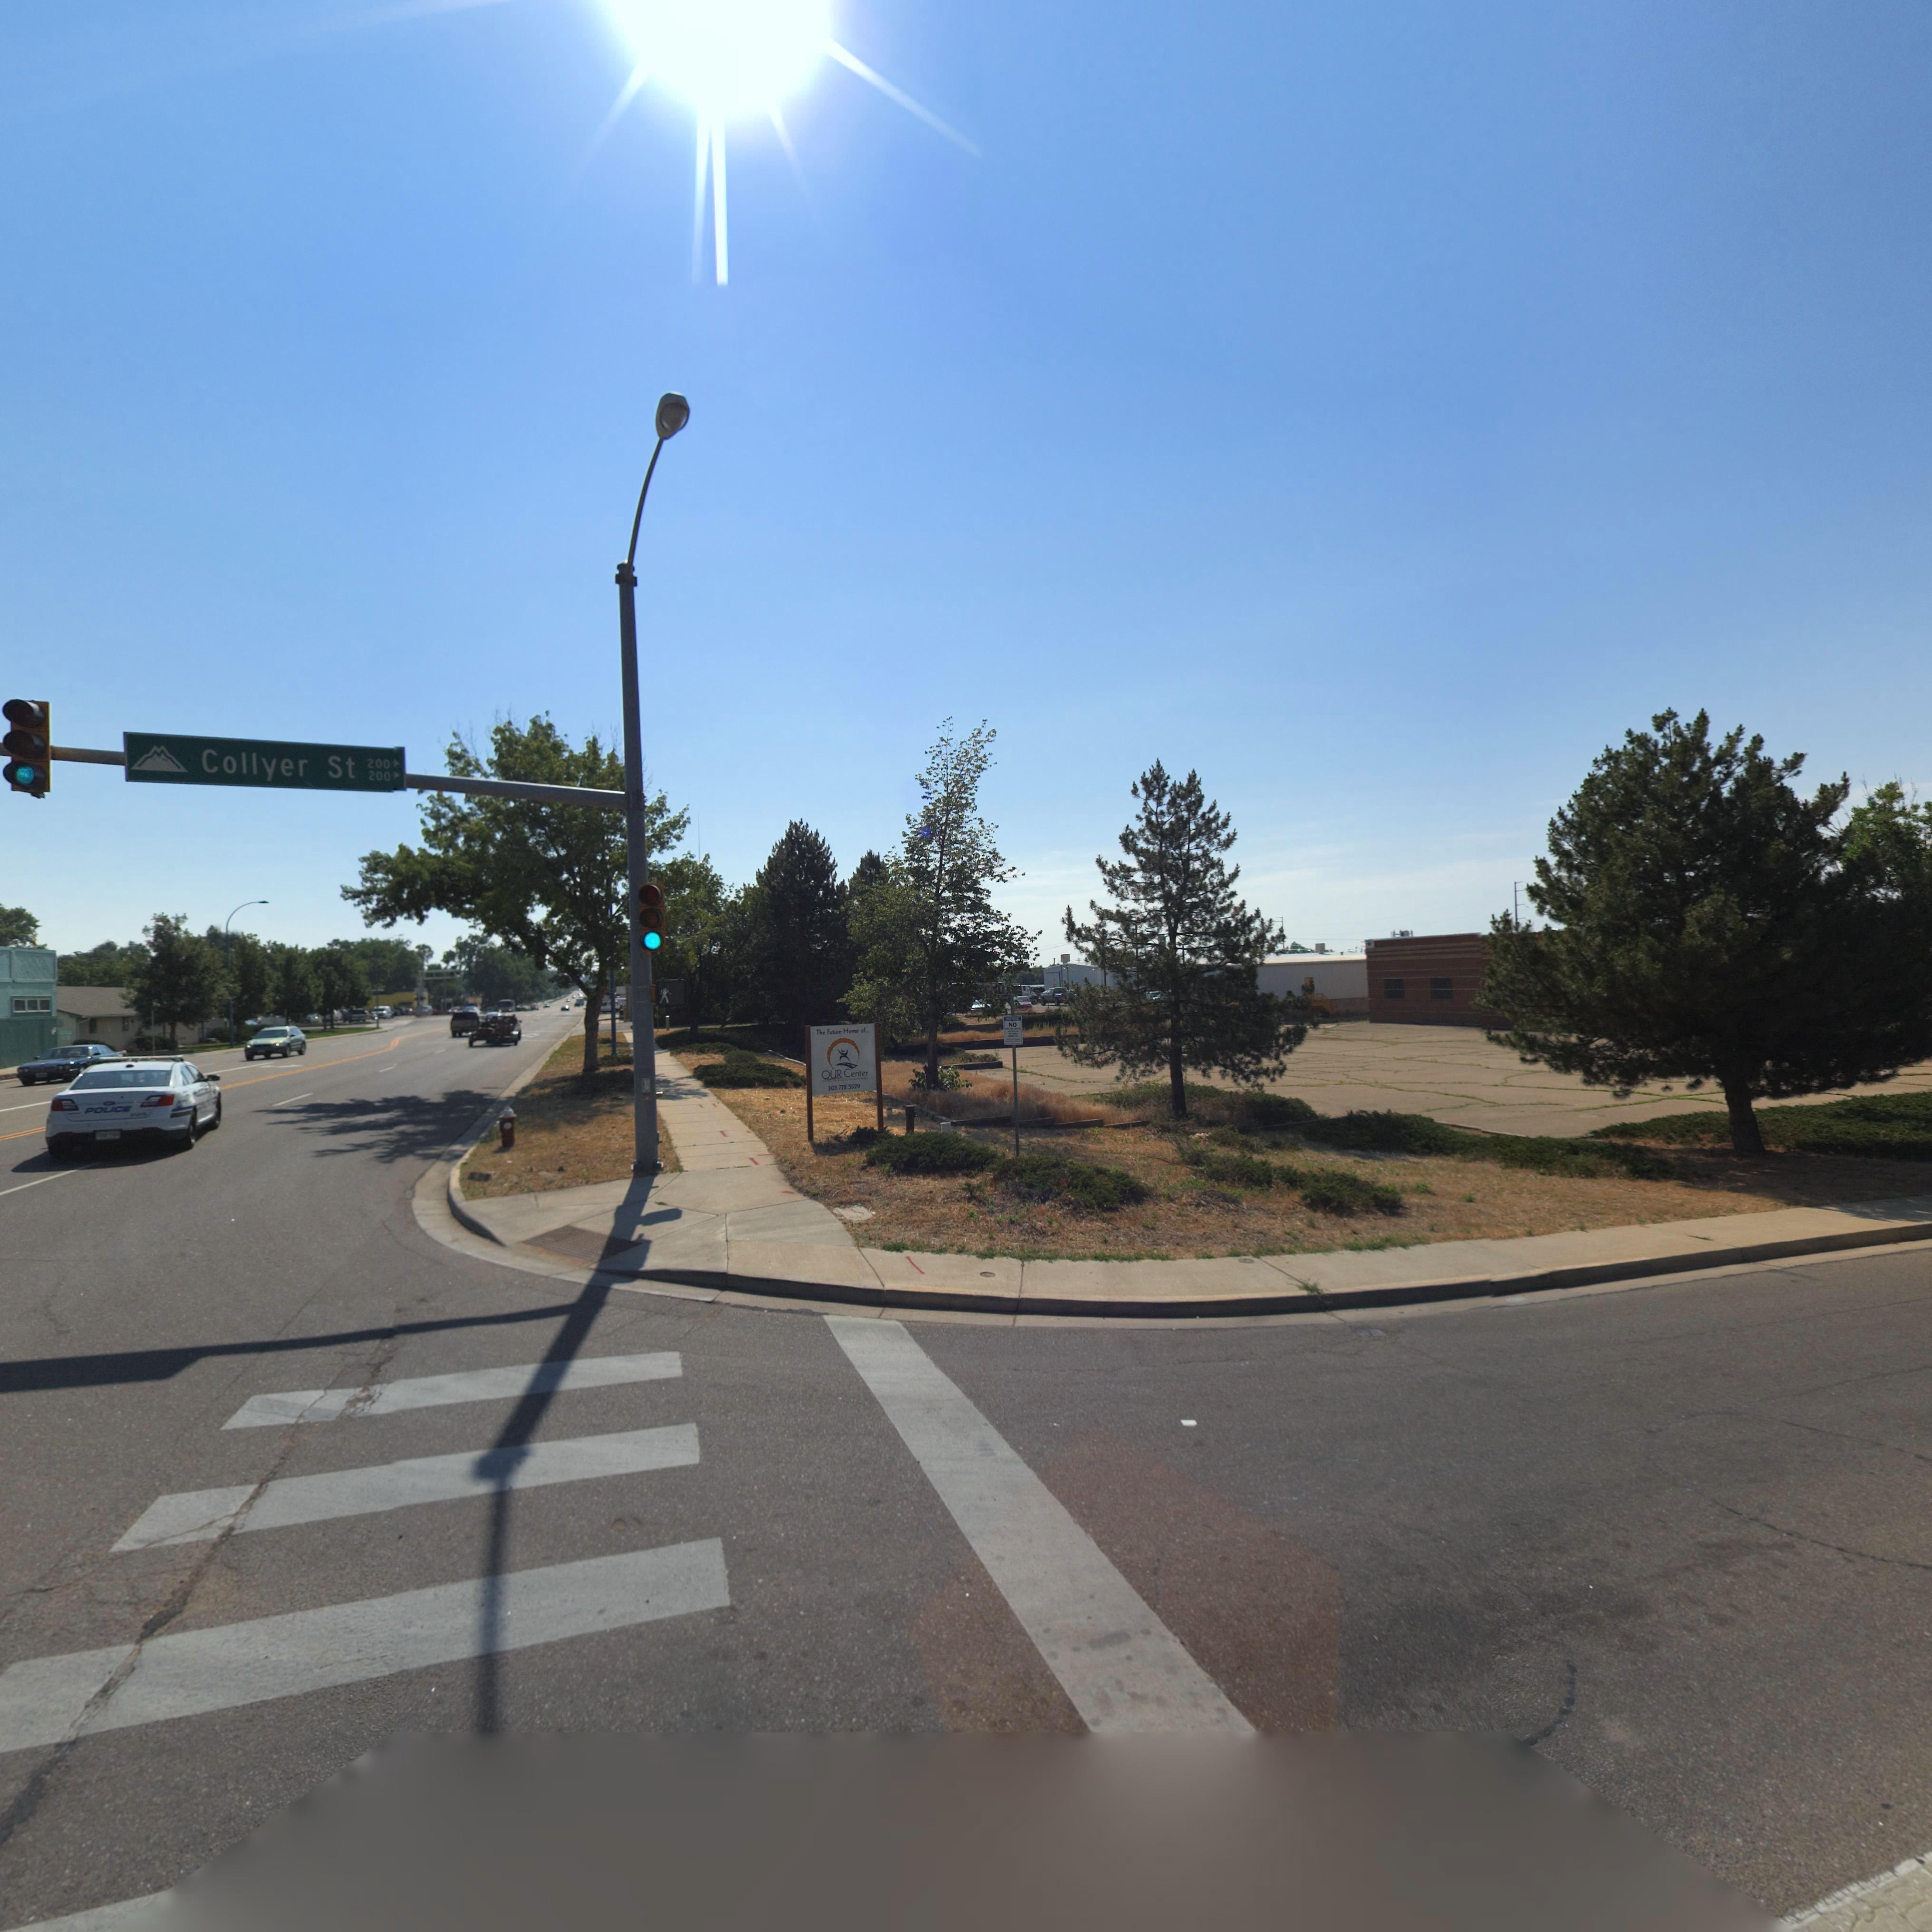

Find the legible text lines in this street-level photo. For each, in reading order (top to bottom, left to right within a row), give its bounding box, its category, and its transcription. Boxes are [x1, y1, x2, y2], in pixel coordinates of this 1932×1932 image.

[202, 749, 356, 782] StreetName: Collyer St
[367, 757, 391, 770] StreetNumberRange: 200
[368, 769, 400, 782] StreetNumberRange: 200->